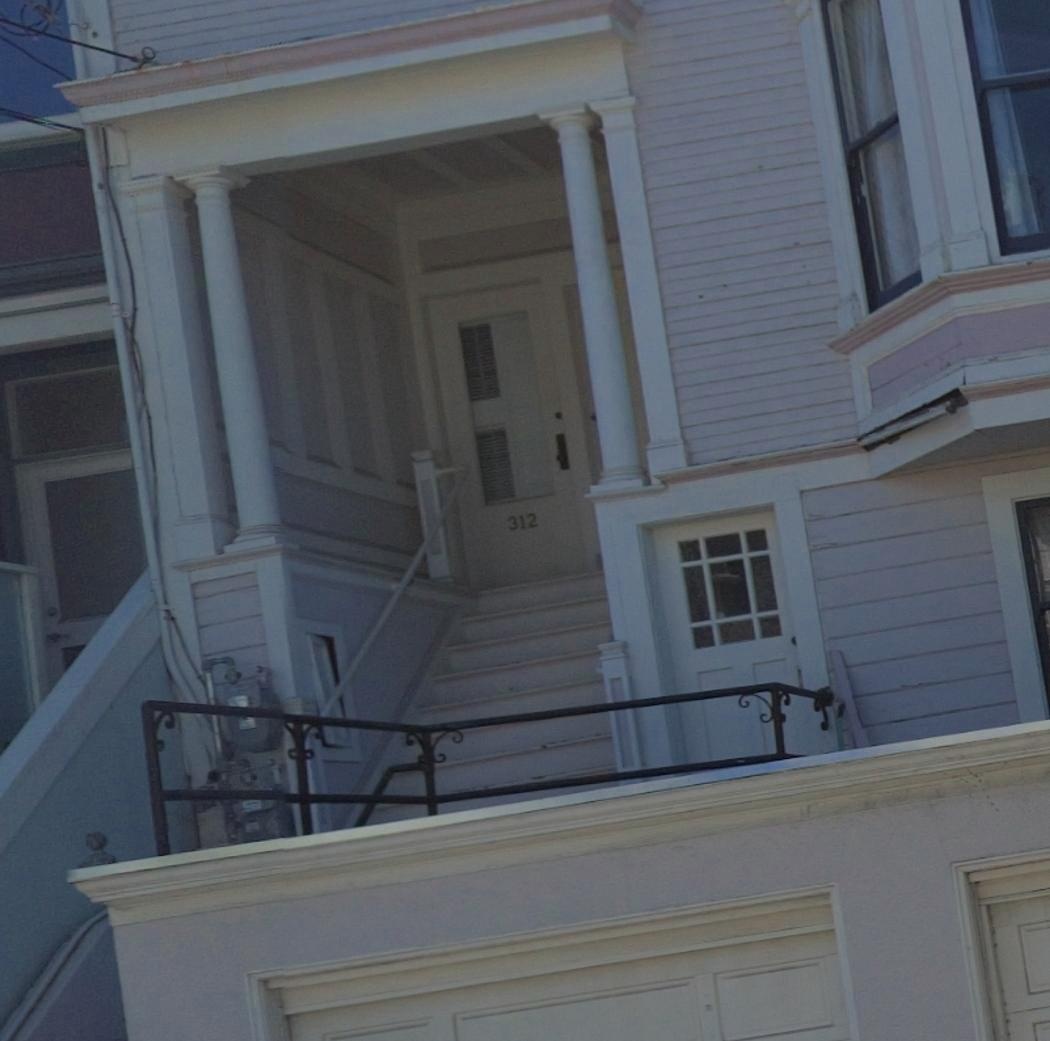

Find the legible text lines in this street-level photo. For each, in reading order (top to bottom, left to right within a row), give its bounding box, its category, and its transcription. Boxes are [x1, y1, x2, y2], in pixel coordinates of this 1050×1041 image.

[505, 510, 540, 534] StreetNumber: 312